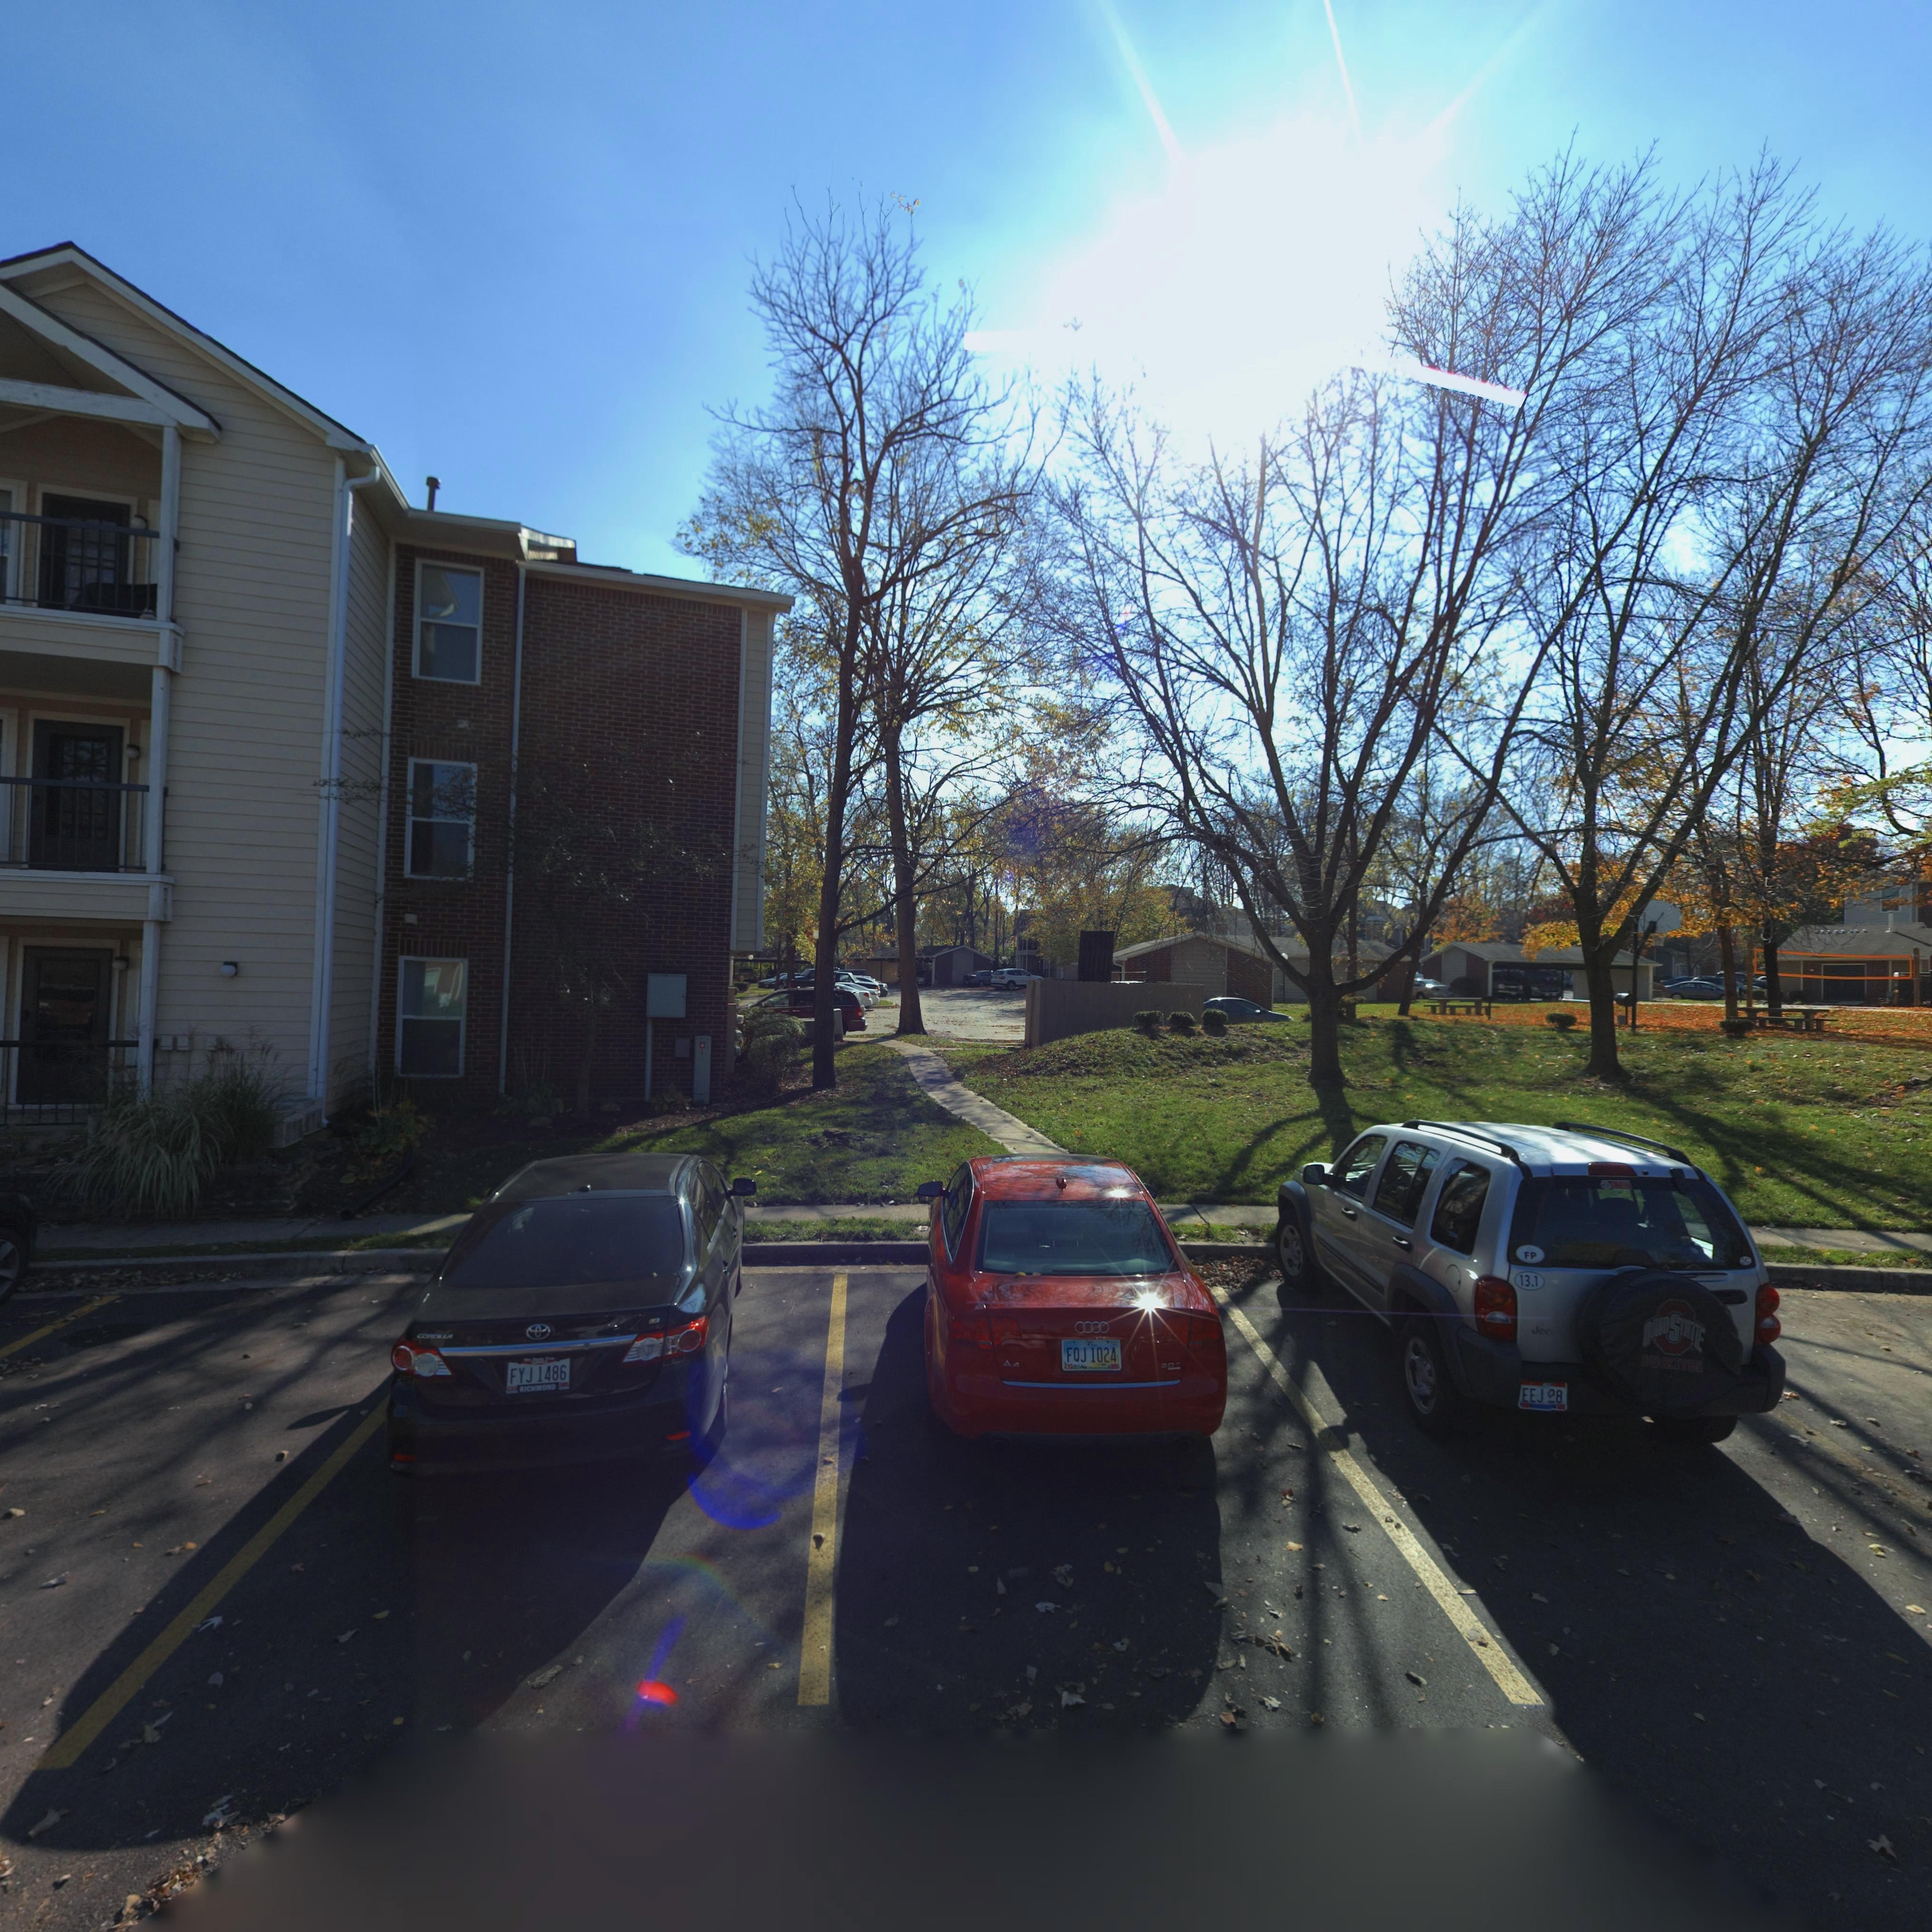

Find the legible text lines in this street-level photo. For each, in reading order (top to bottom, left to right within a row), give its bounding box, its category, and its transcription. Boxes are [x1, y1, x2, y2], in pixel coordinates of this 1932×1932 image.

[1522, 1249, 1538, 1261] None: FP
[1518, 1272, 1540, 1289] None: 13.1
[1641, 1308, 1708, 1355] None: OHIOSTATE
[1001, 1357, 1022, 1369] None: A4
[1065, 1345, 1119, 1364] None: FQJ 1024
[508, 1362, 568, 1386] None: FYJ 1486
[518, 1381, 558, 1394] None: RICHMOND
[1520, 1385, 1545, 1405] None: EEJ
[1555, 1388, 1564, 1405] None: 8